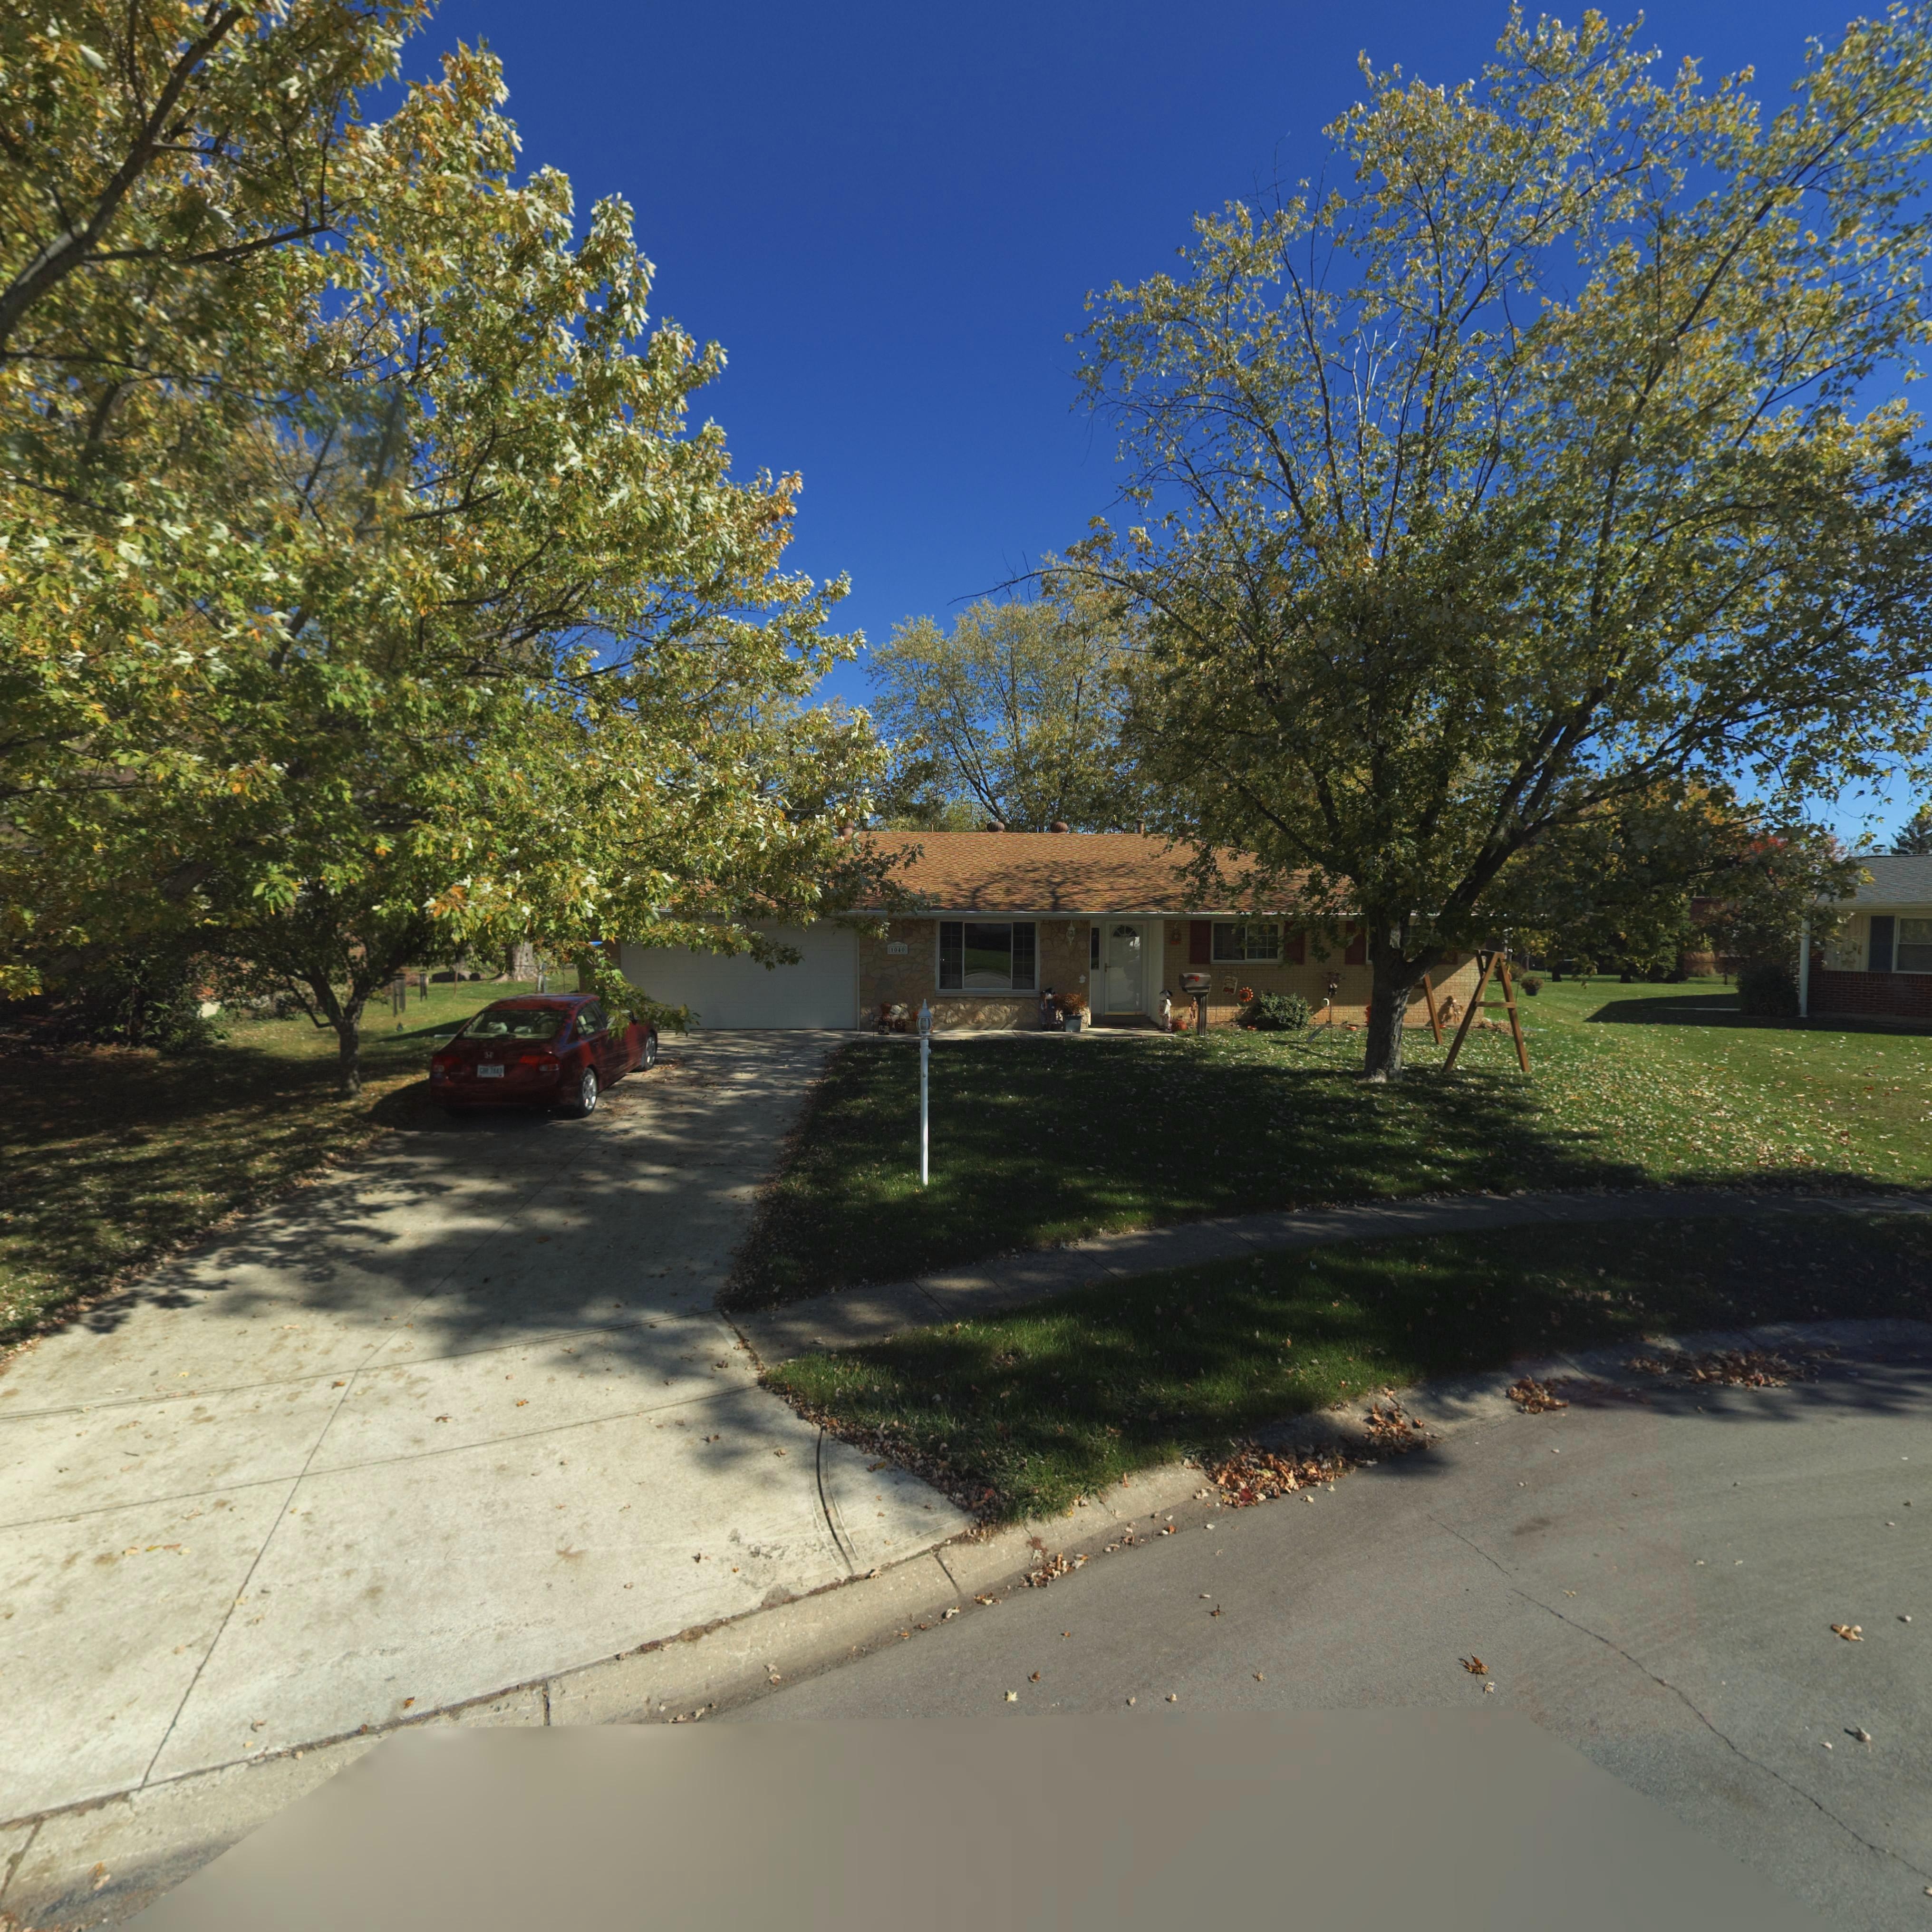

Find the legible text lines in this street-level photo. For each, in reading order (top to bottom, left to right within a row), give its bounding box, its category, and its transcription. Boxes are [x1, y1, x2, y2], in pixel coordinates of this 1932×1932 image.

[891, 947, 905, 953] StreetNumber: 1040